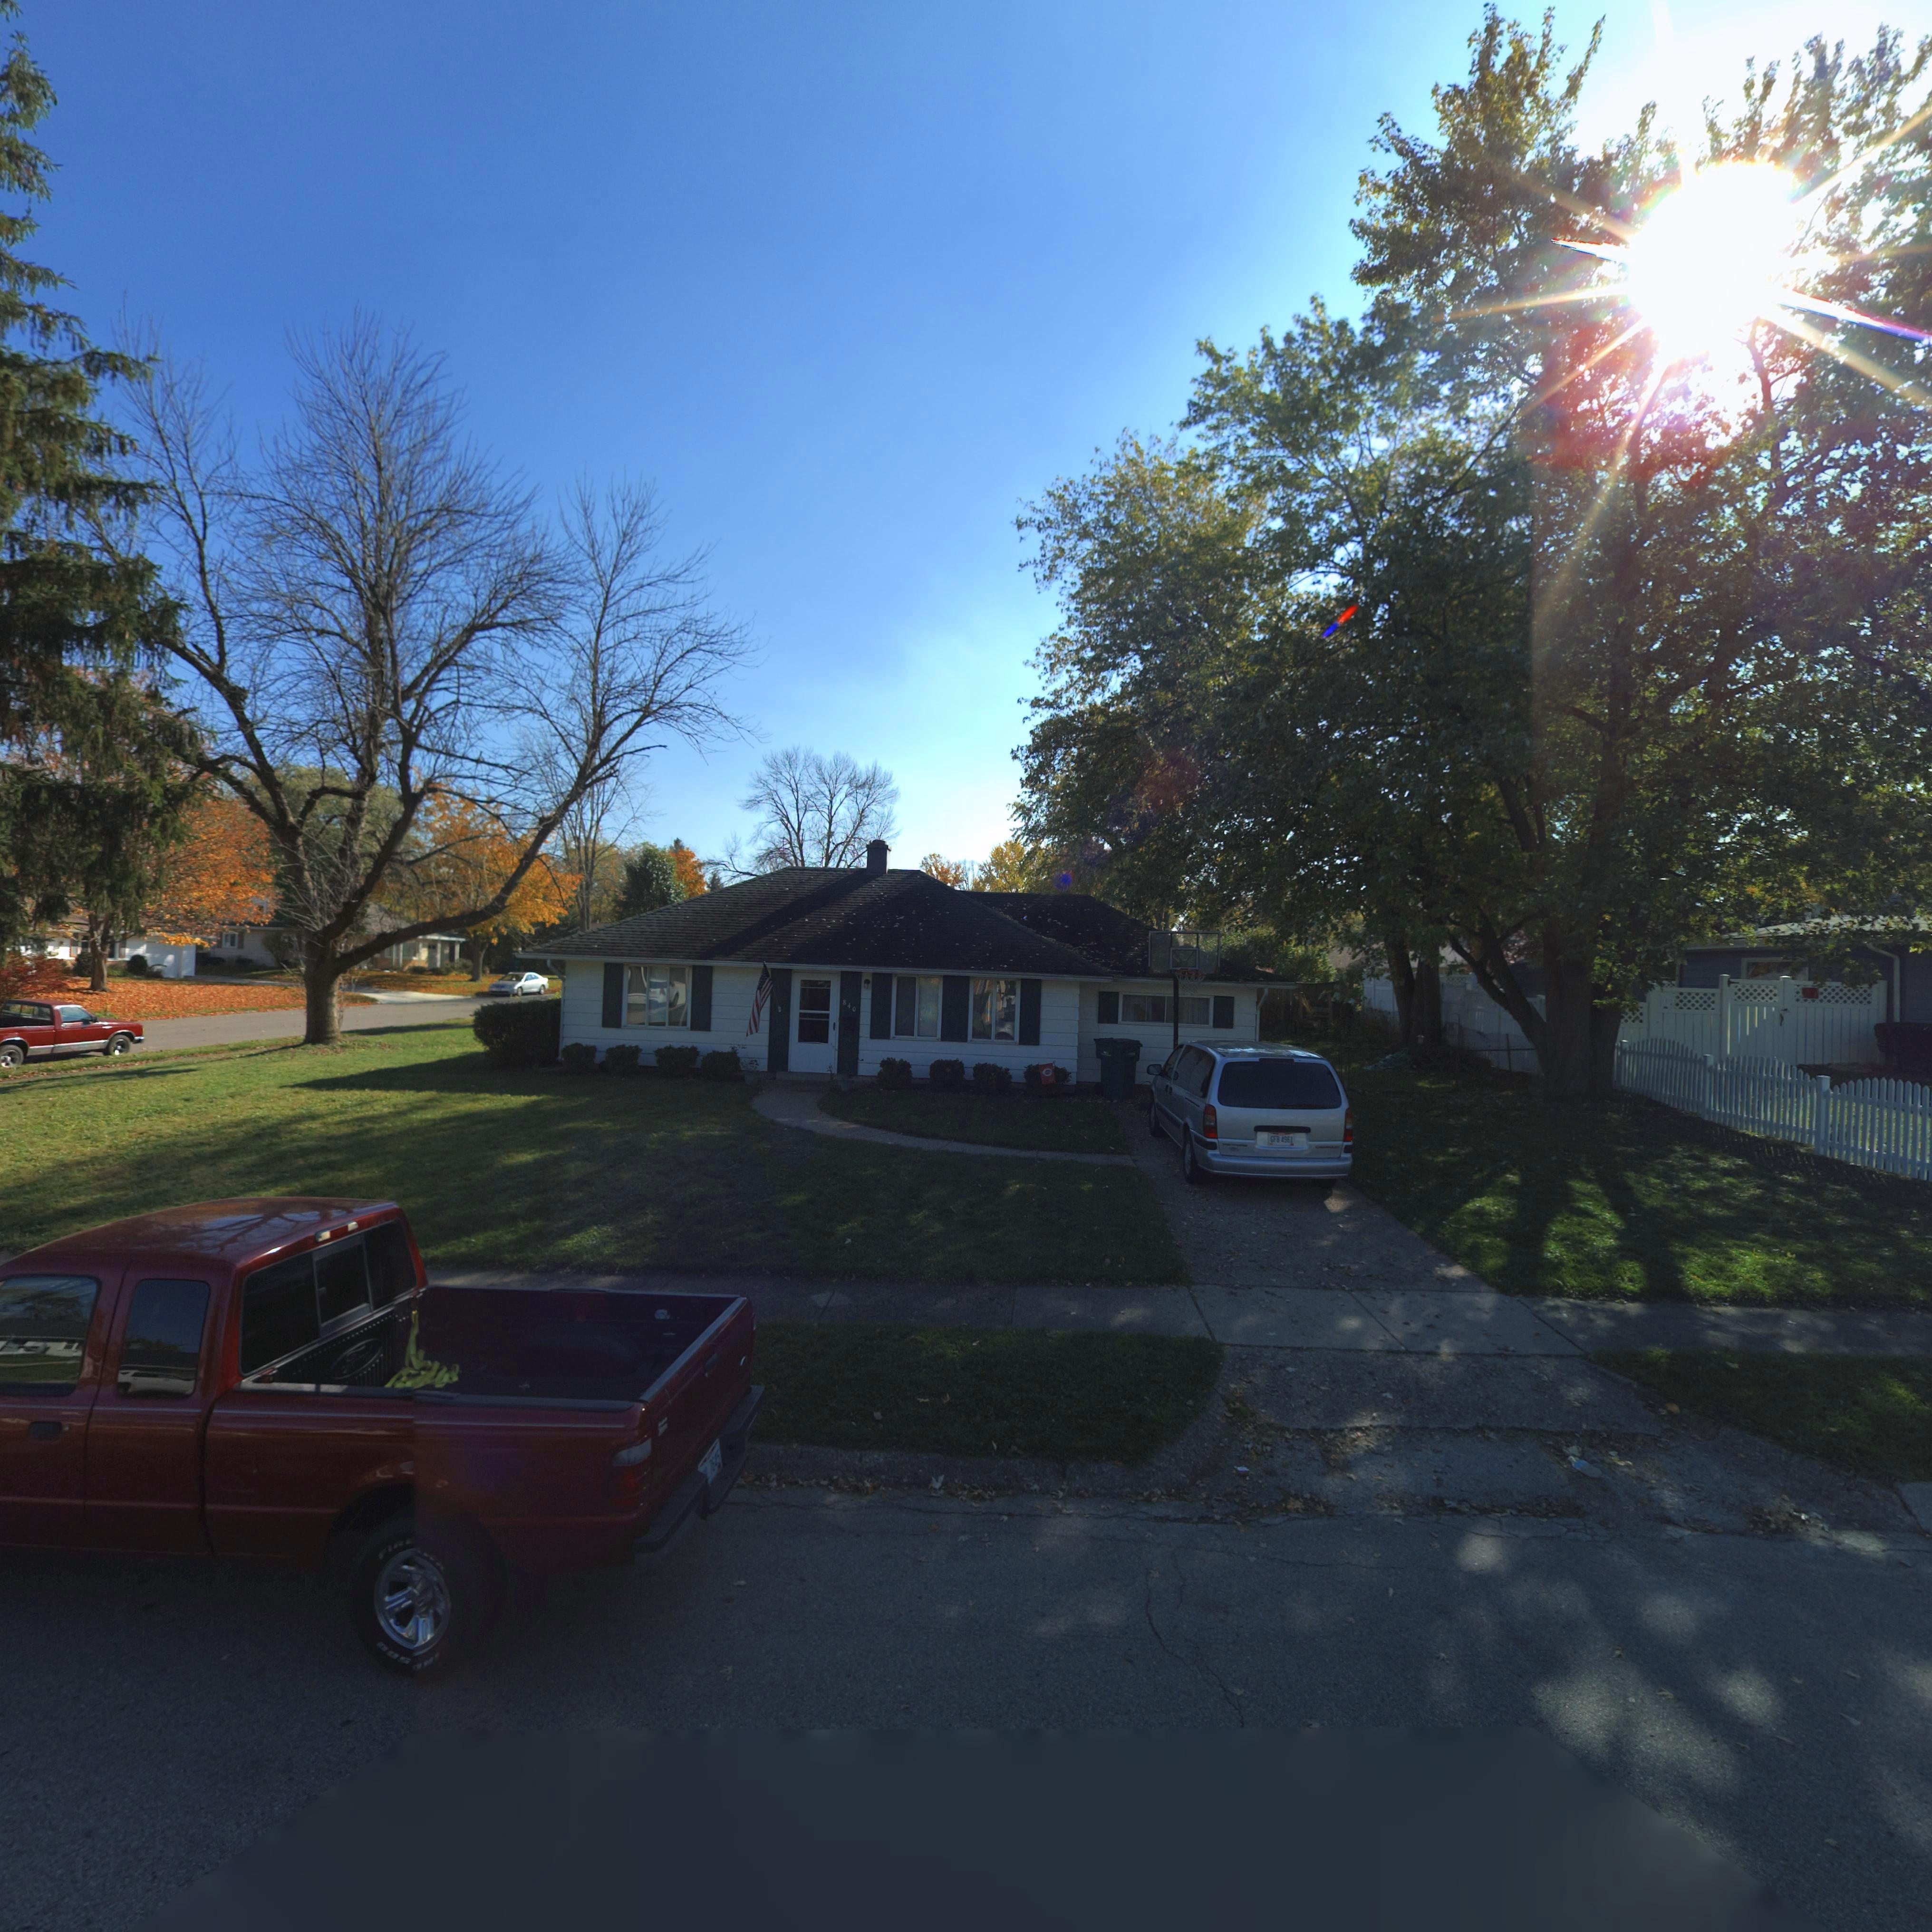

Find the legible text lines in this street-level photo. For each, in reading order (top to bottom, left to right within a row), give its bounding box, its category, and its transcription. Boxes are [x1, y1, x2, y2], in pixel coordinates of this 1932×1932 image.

[842, 999, 856, 1013] StreetNumber: 840
[1270, 1135, 1293, 1143] None: GFB 4961